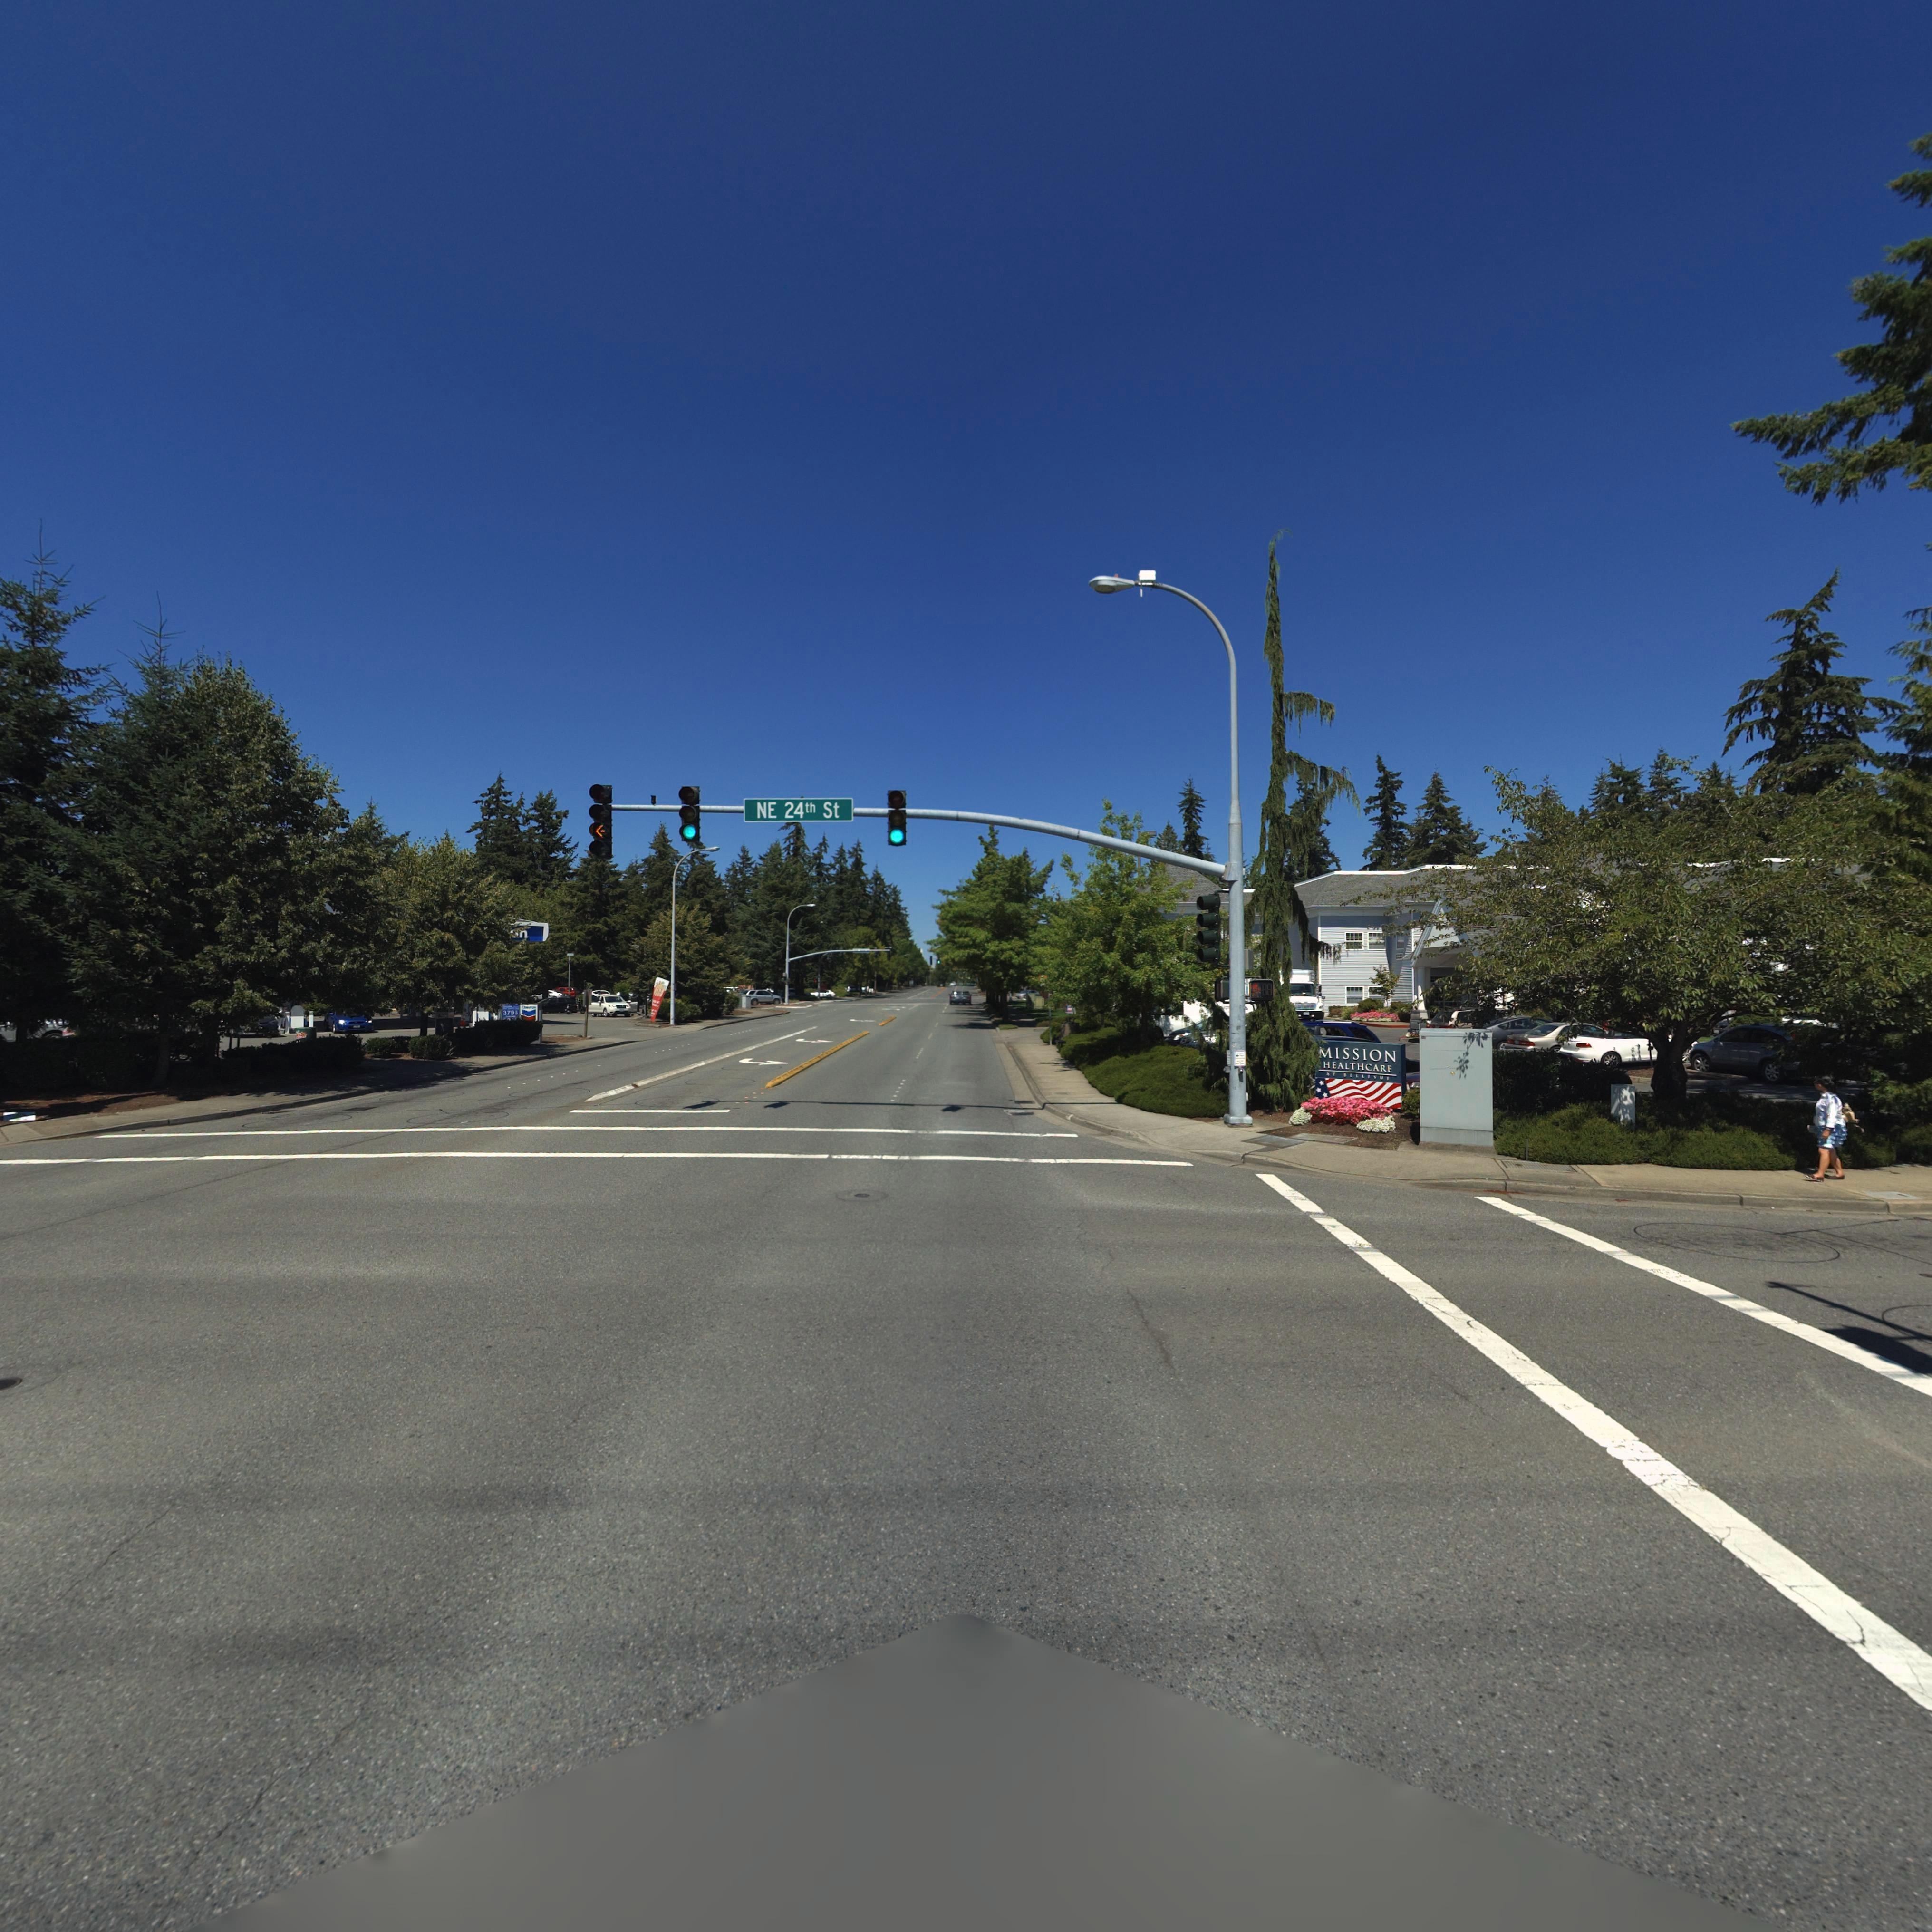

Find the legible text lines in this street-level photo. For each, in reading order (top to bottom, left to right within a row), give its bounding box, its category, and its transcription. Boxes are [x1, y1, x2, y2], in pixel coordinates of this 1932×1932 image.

[756, 801, 840, 818] StreetName: NE 24th St
[1317, 1046, 1396, 1063] BusinessName: MISSION
[1323, 1061, 1392, 1073] BusinessName: HEALTHCARE